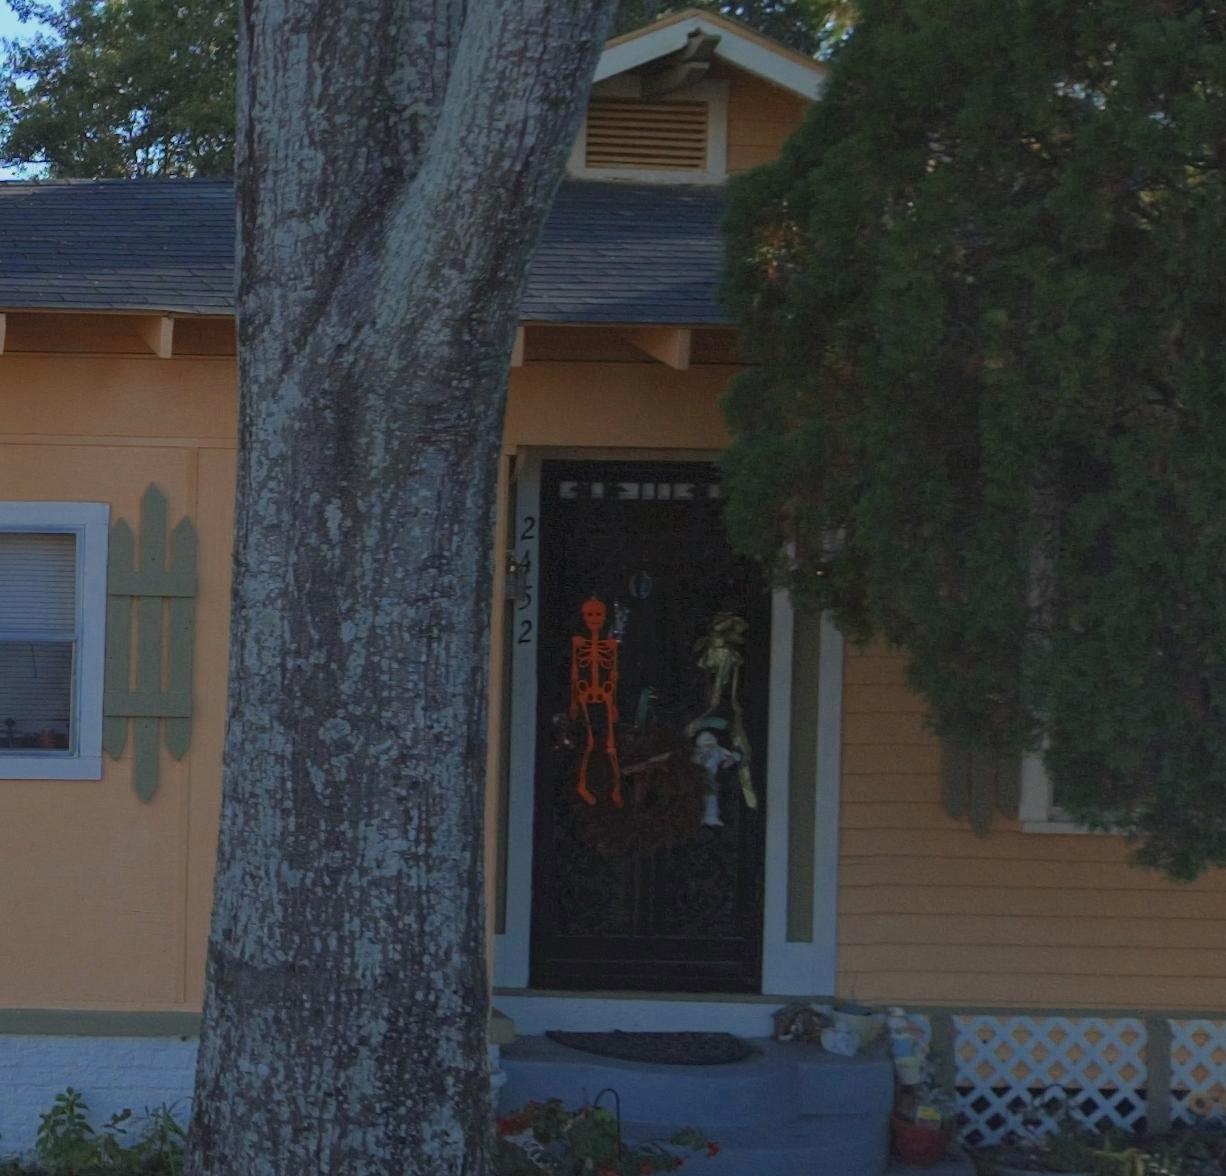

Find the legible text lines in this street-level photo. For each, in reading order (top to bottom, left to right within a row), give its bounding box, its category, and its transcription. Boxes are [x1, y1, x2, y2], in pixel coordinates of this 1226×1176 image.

[516, 515, 537, 646] StreetNumber: 2452